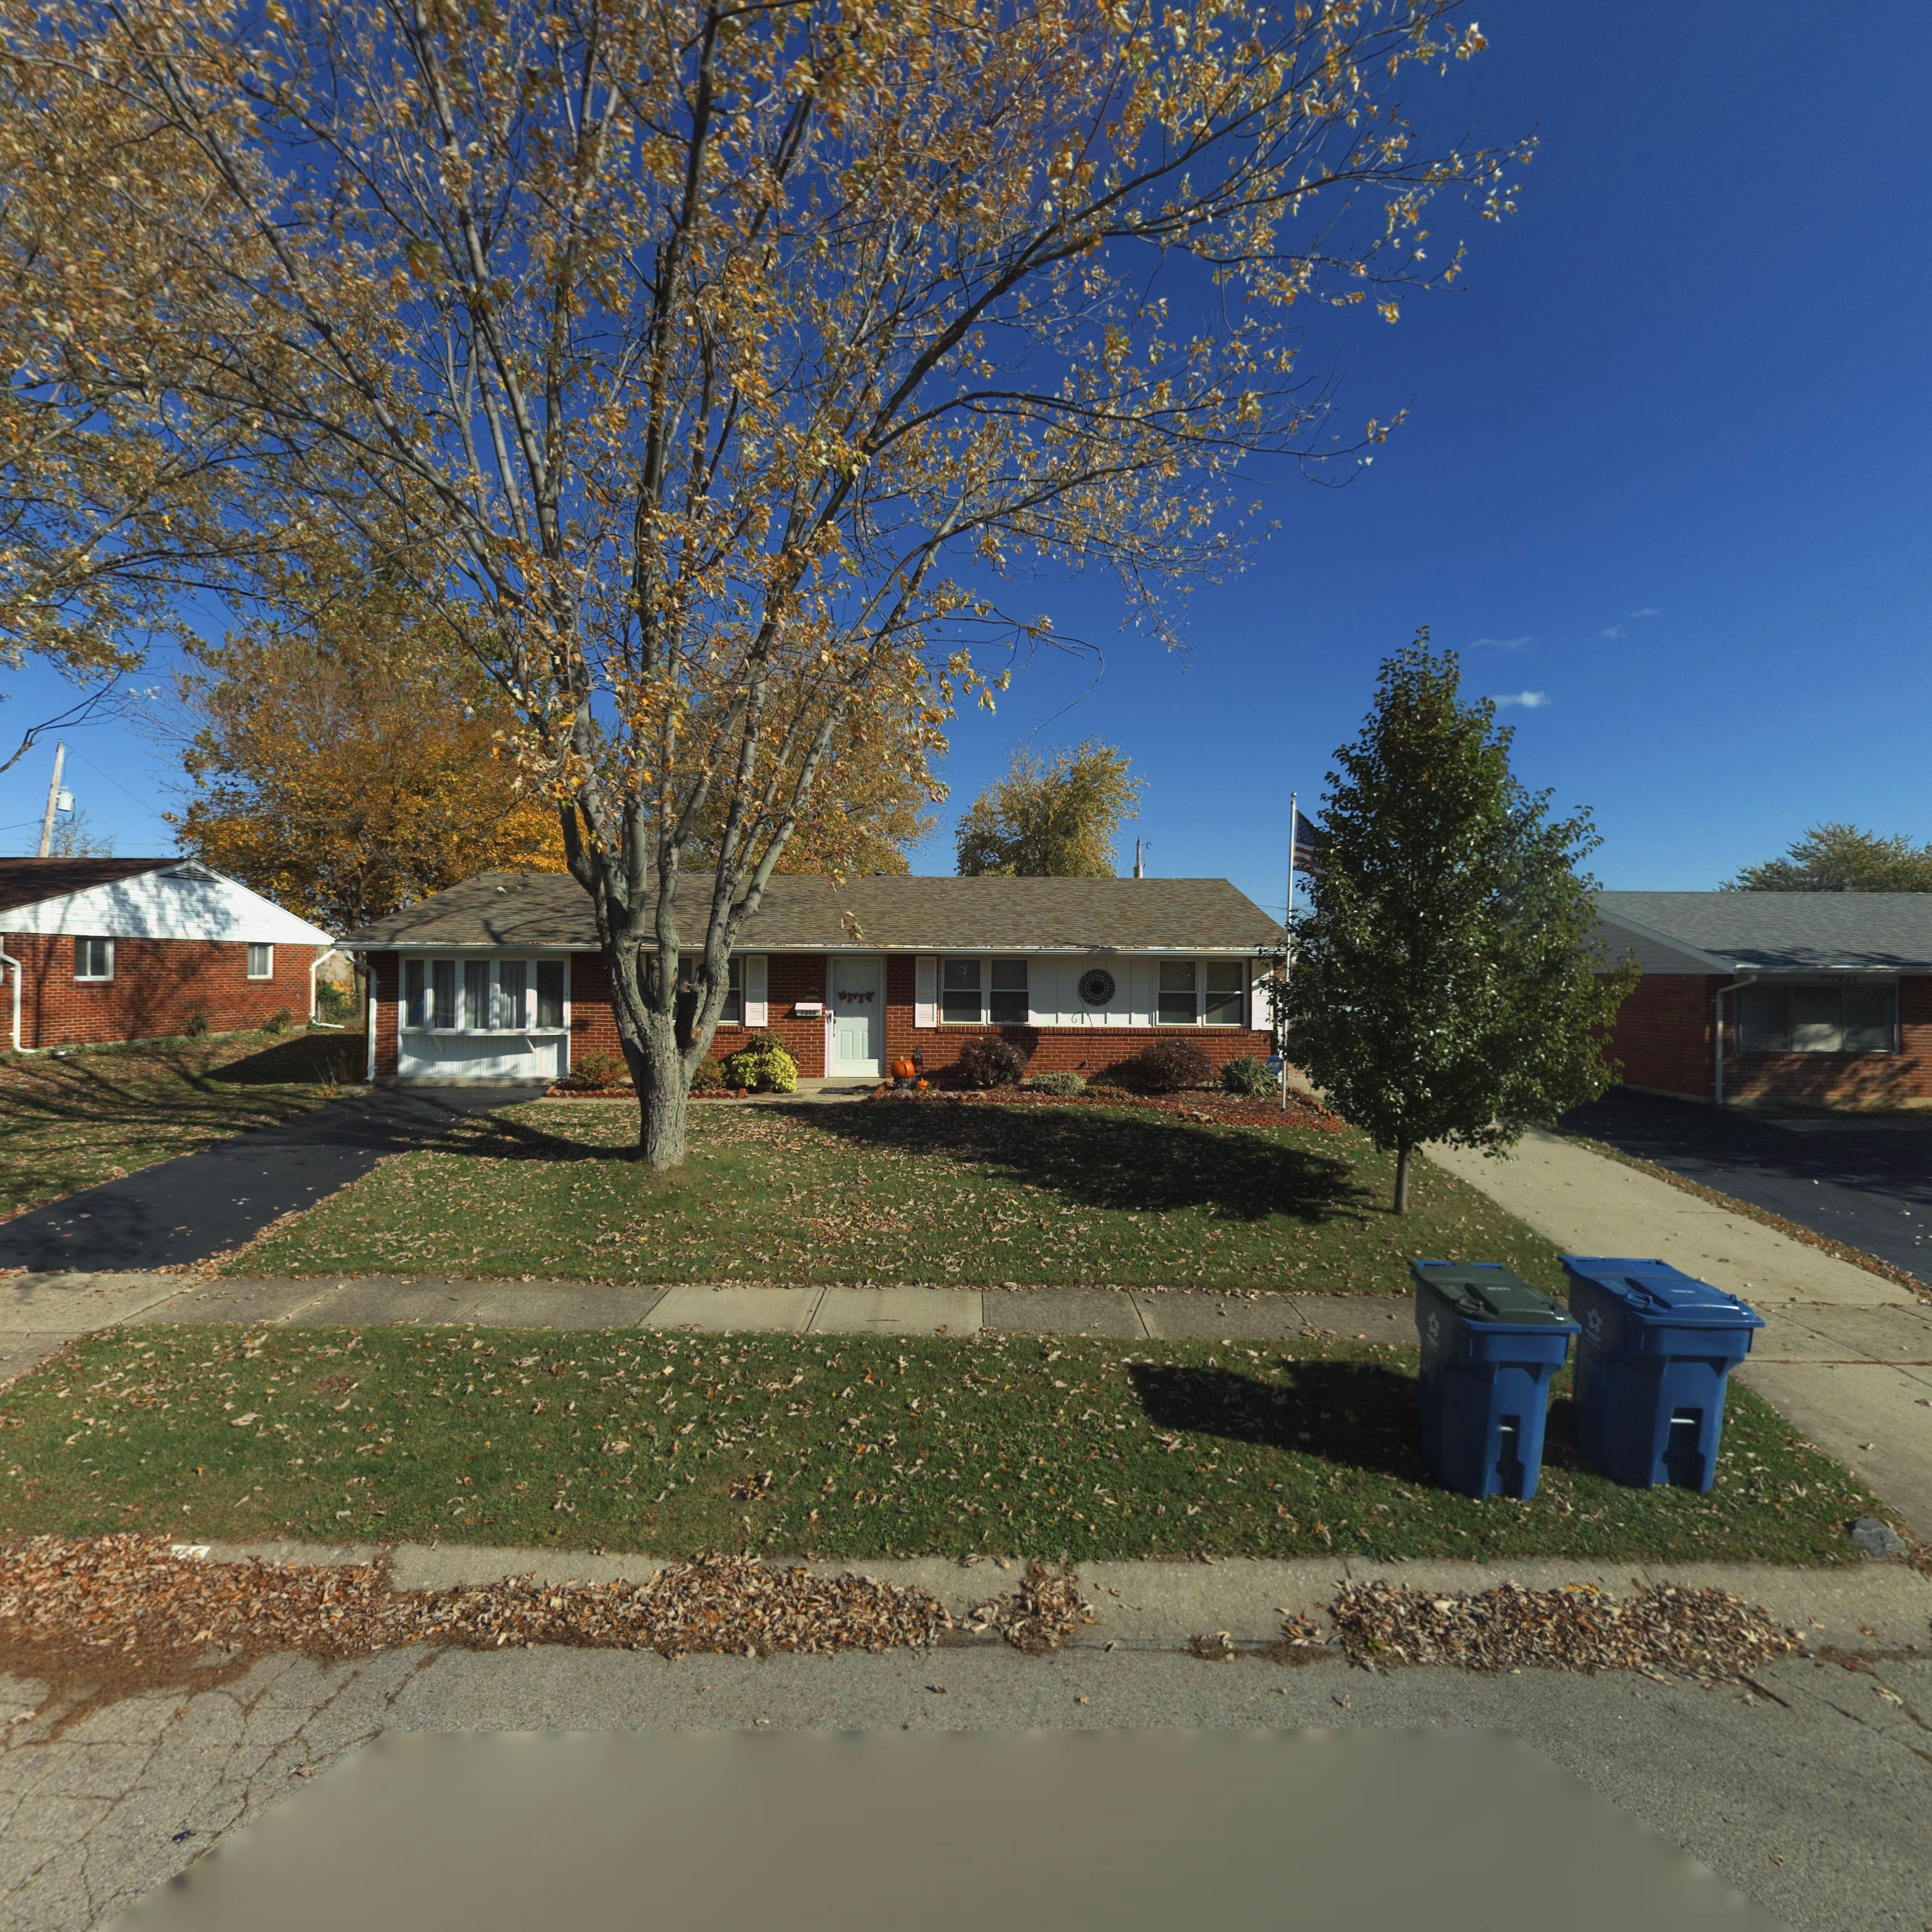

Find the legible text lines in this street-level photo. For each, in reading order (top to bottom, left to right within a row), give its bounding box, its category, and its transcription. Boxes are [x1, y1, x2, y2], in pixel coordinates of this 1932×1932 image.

[800, 1009, 817, 1016] StreetNumber: 7233